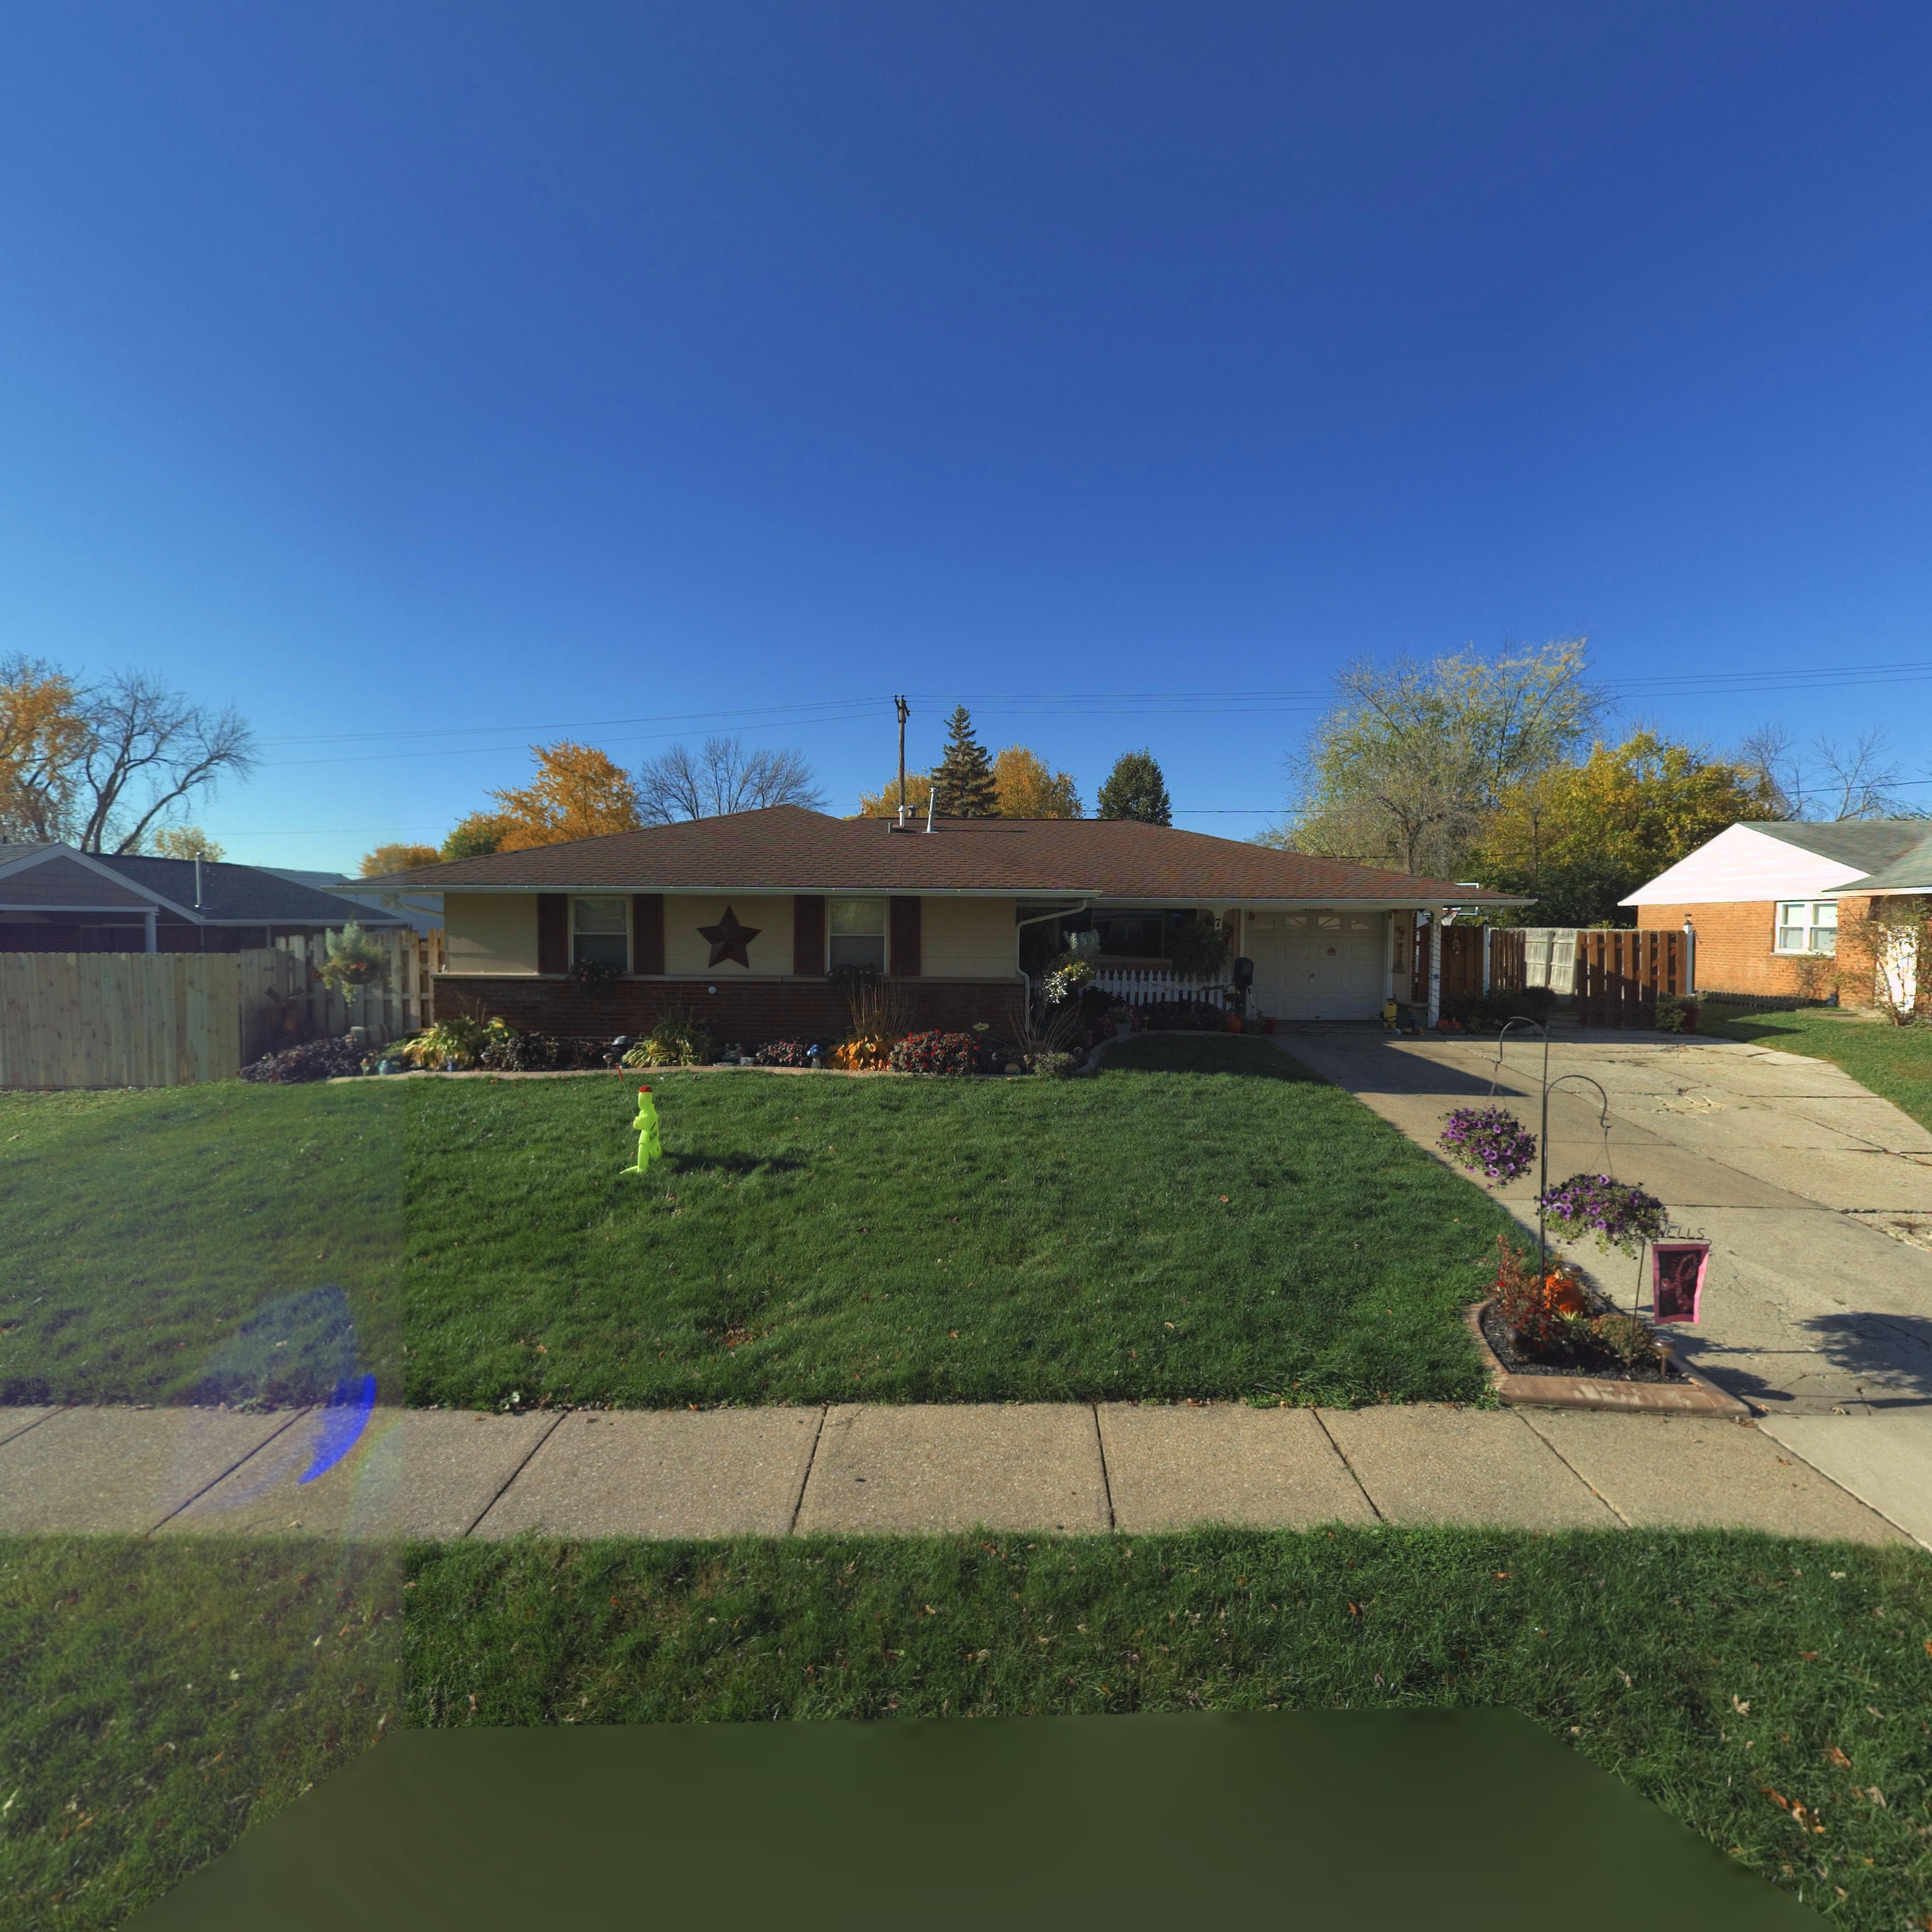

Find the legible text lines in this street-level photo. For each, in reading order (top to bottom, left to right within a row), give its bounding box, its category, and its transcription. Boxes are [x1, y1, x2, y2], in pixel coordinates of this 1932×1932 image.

[1215, 918, 1221, 927] StreetNumber: 7